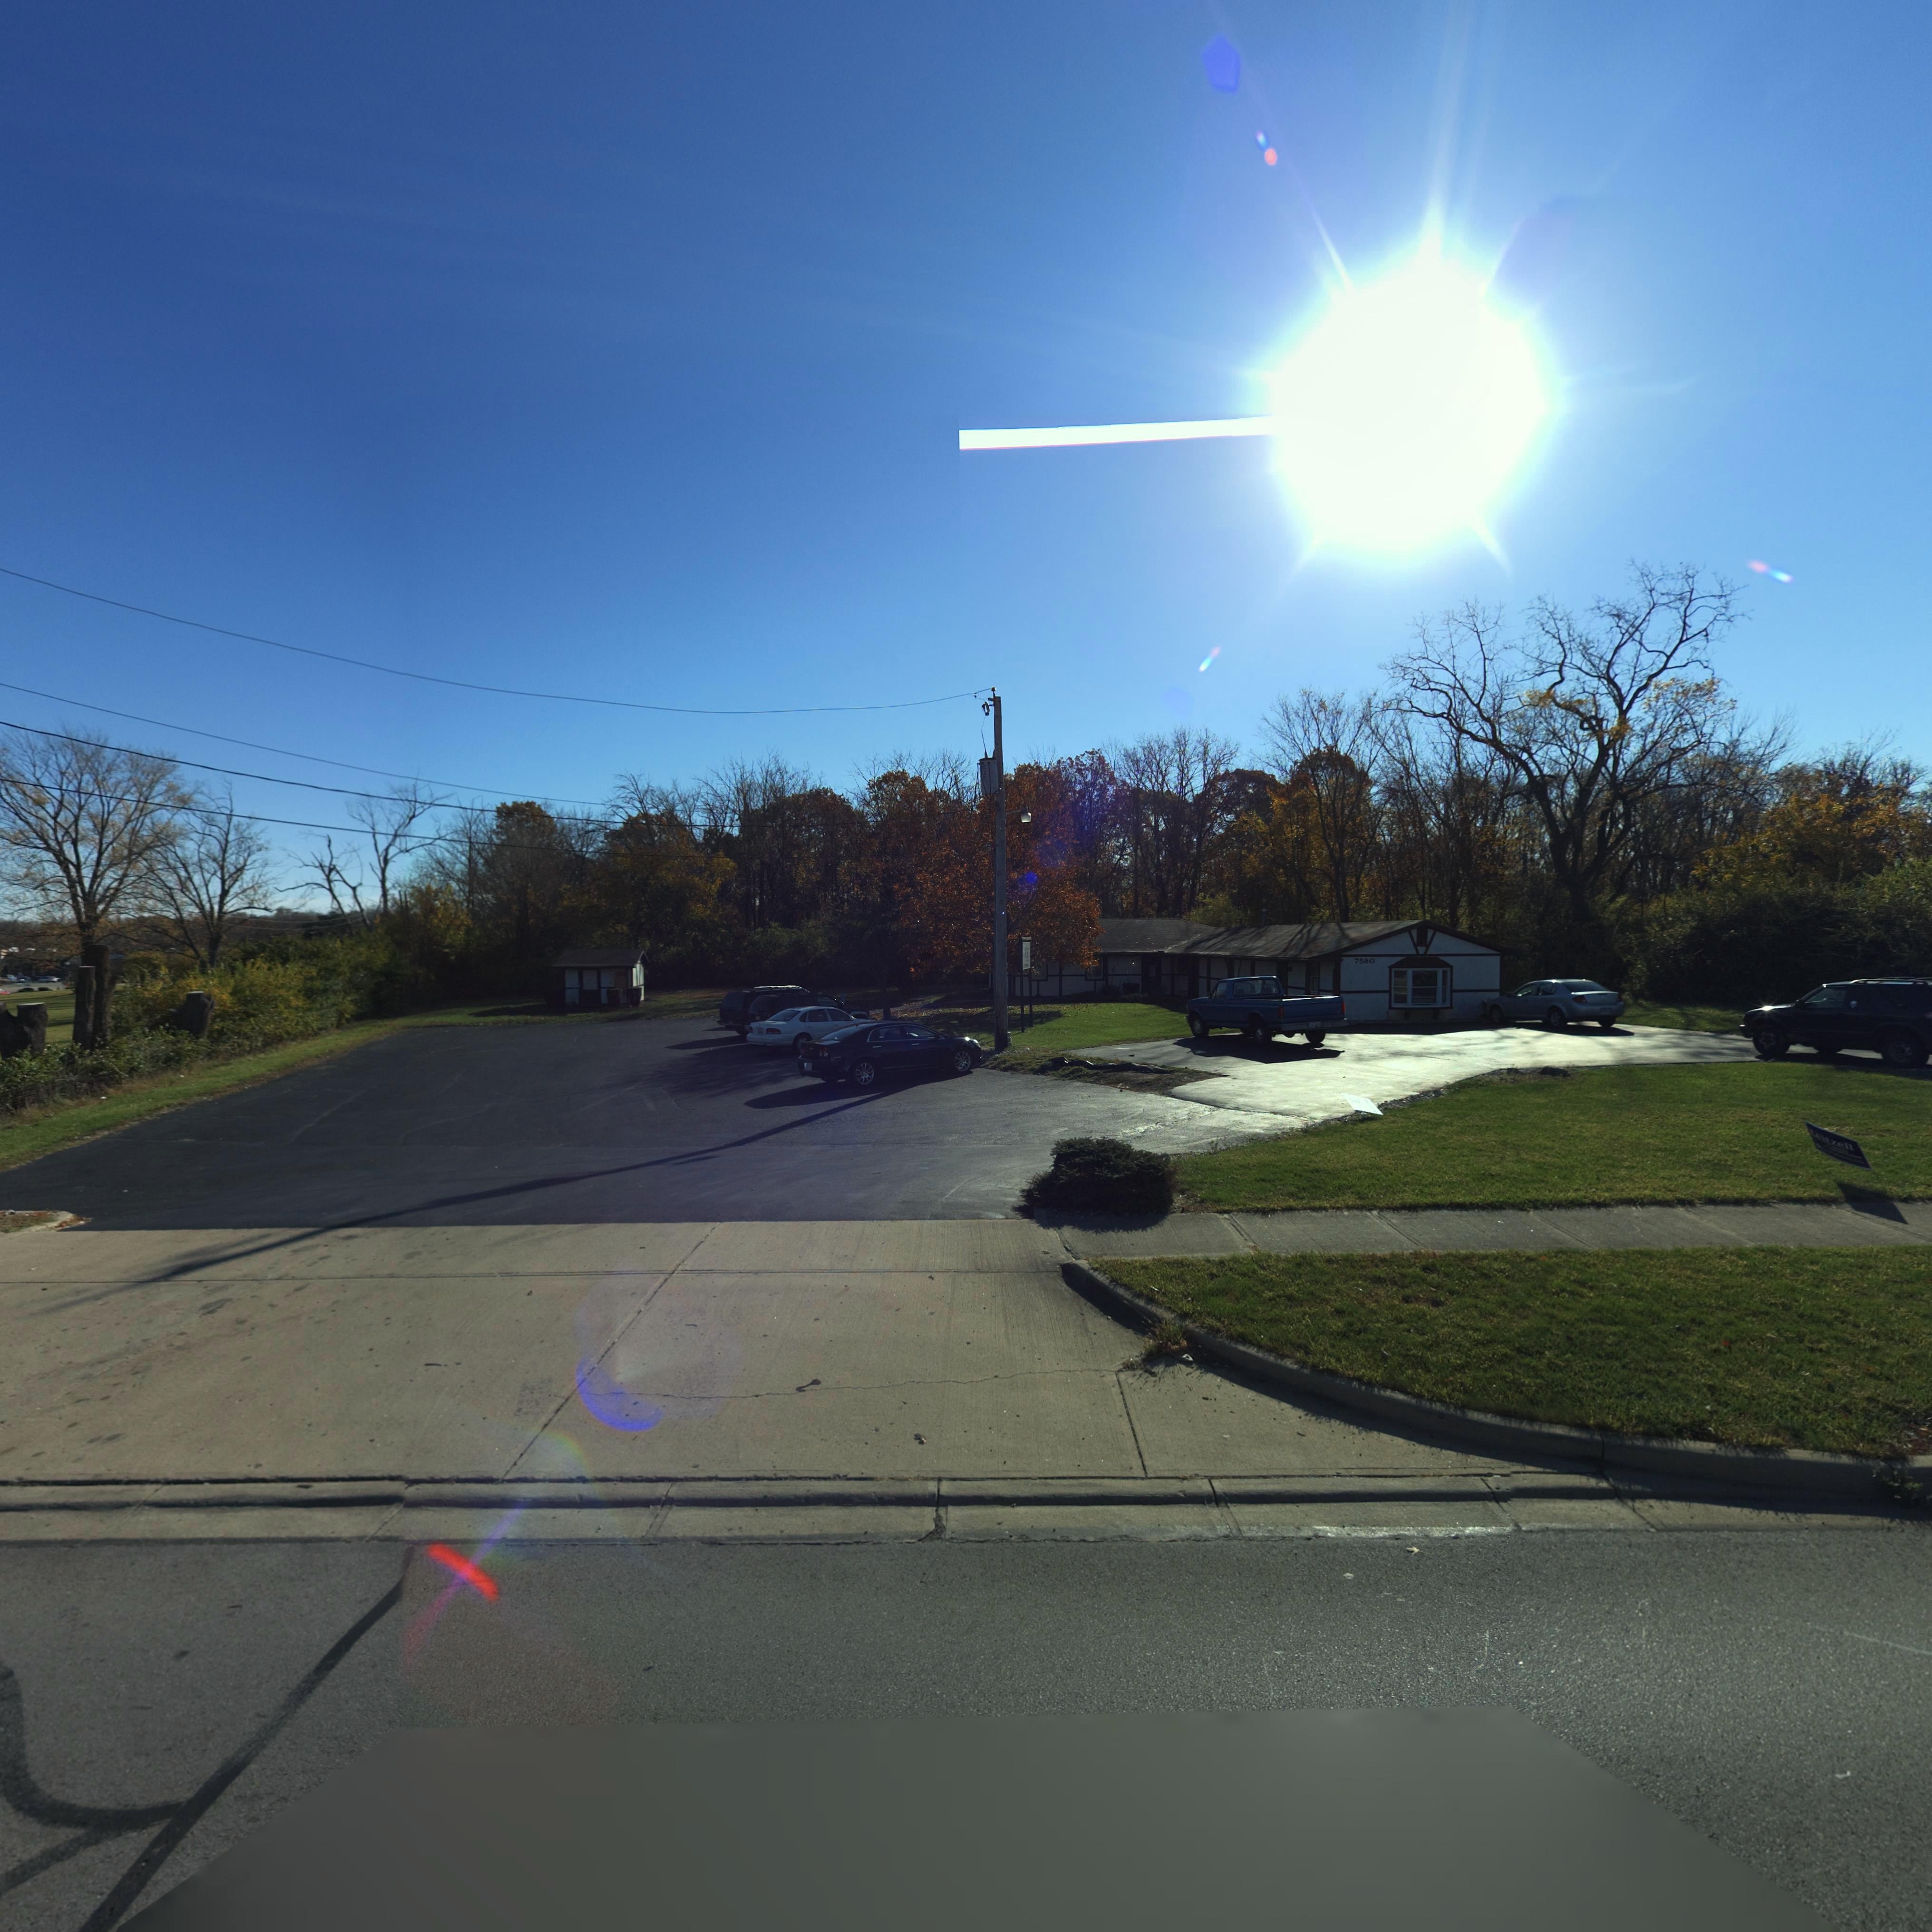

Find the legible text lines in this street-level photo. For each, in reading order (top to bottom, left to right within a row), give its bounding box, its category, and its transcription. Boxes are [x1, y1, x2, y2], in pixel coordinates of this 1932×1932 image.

[1354, 957, 1376, 965] StreetNumber: 7580